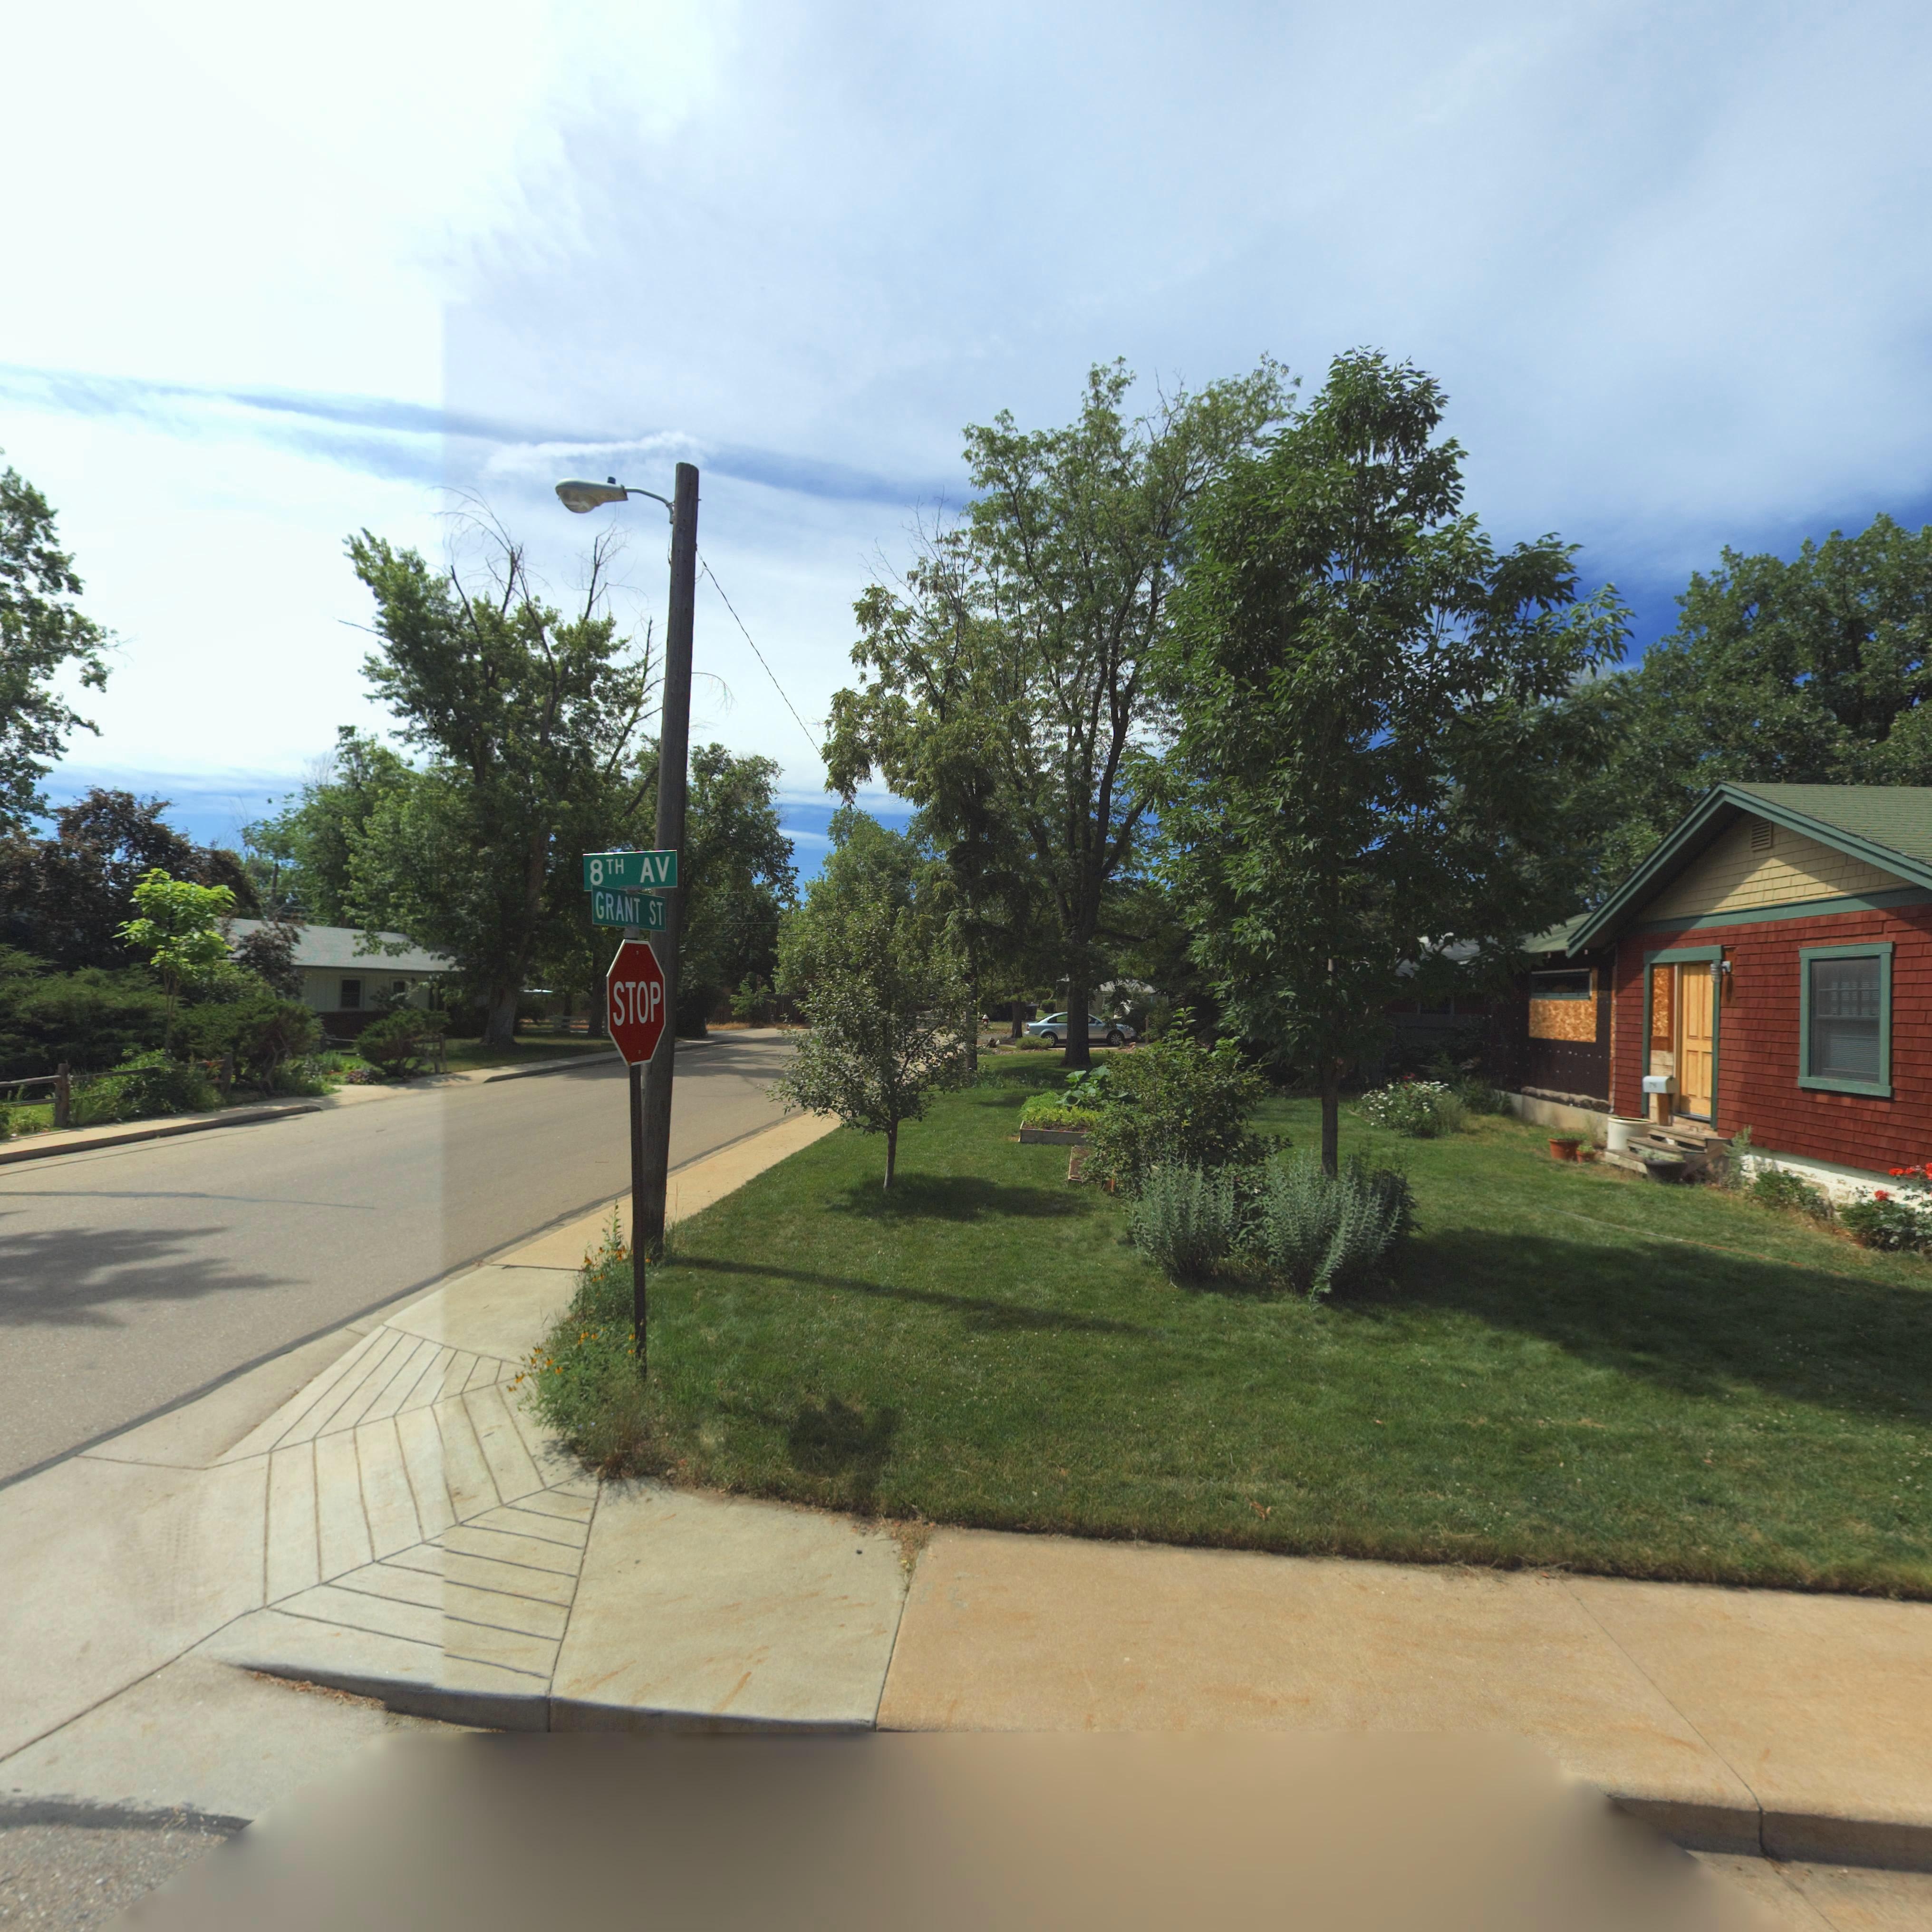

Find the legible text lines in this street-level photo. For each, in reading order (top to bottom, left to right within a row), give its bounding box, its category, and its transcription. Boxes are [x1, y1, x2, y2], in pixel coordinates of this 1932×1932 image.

[589, 856, 670, 885] StreetName: 8TH AV
[596, 891, 663, 926] StreetName: GRANT ST